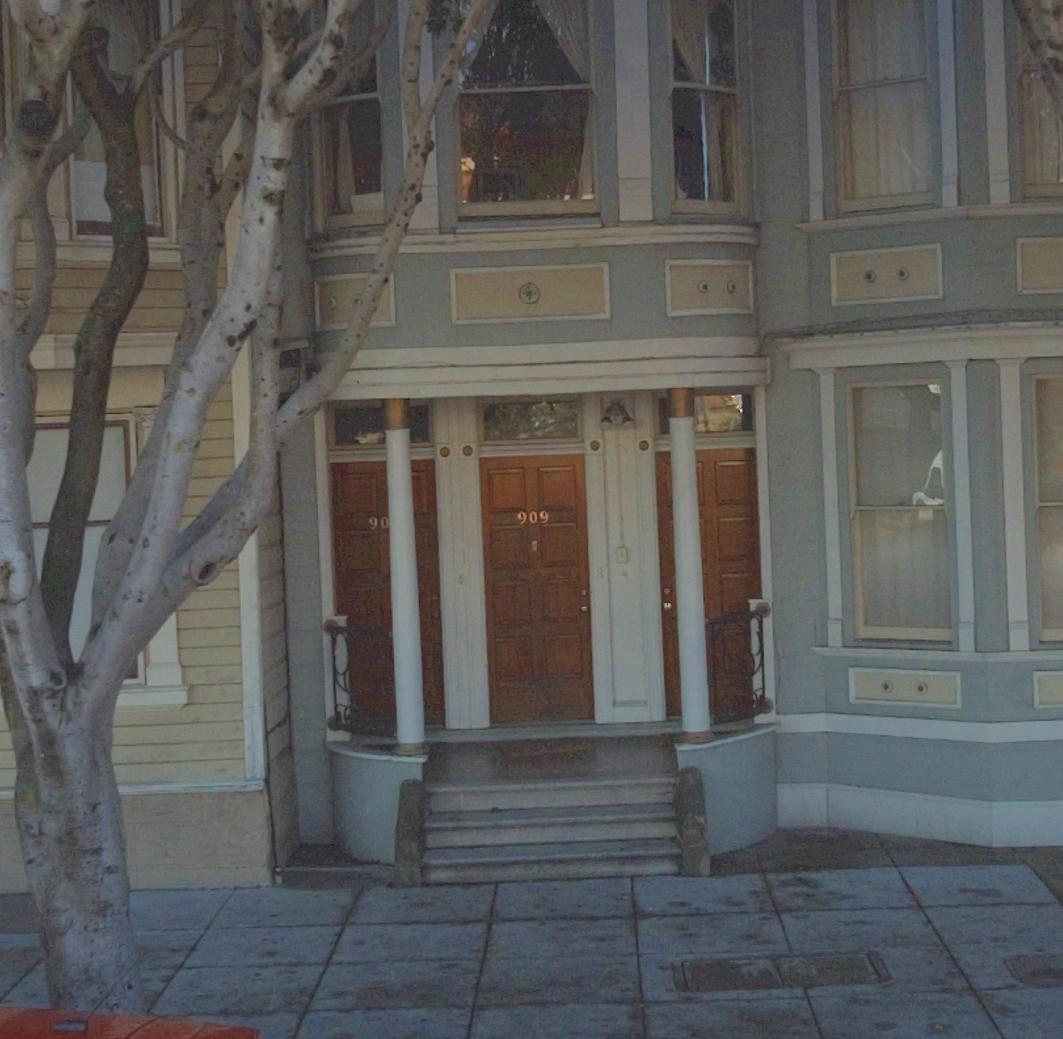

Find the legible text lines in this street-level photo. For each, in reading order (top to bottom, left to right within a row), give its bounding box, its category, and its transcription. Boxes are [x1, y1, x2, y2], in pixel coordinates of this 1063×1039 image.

[366, 516, 388, 530] StreetNumber: 90
[514, 509, 550, 527] StreetNumber: 909